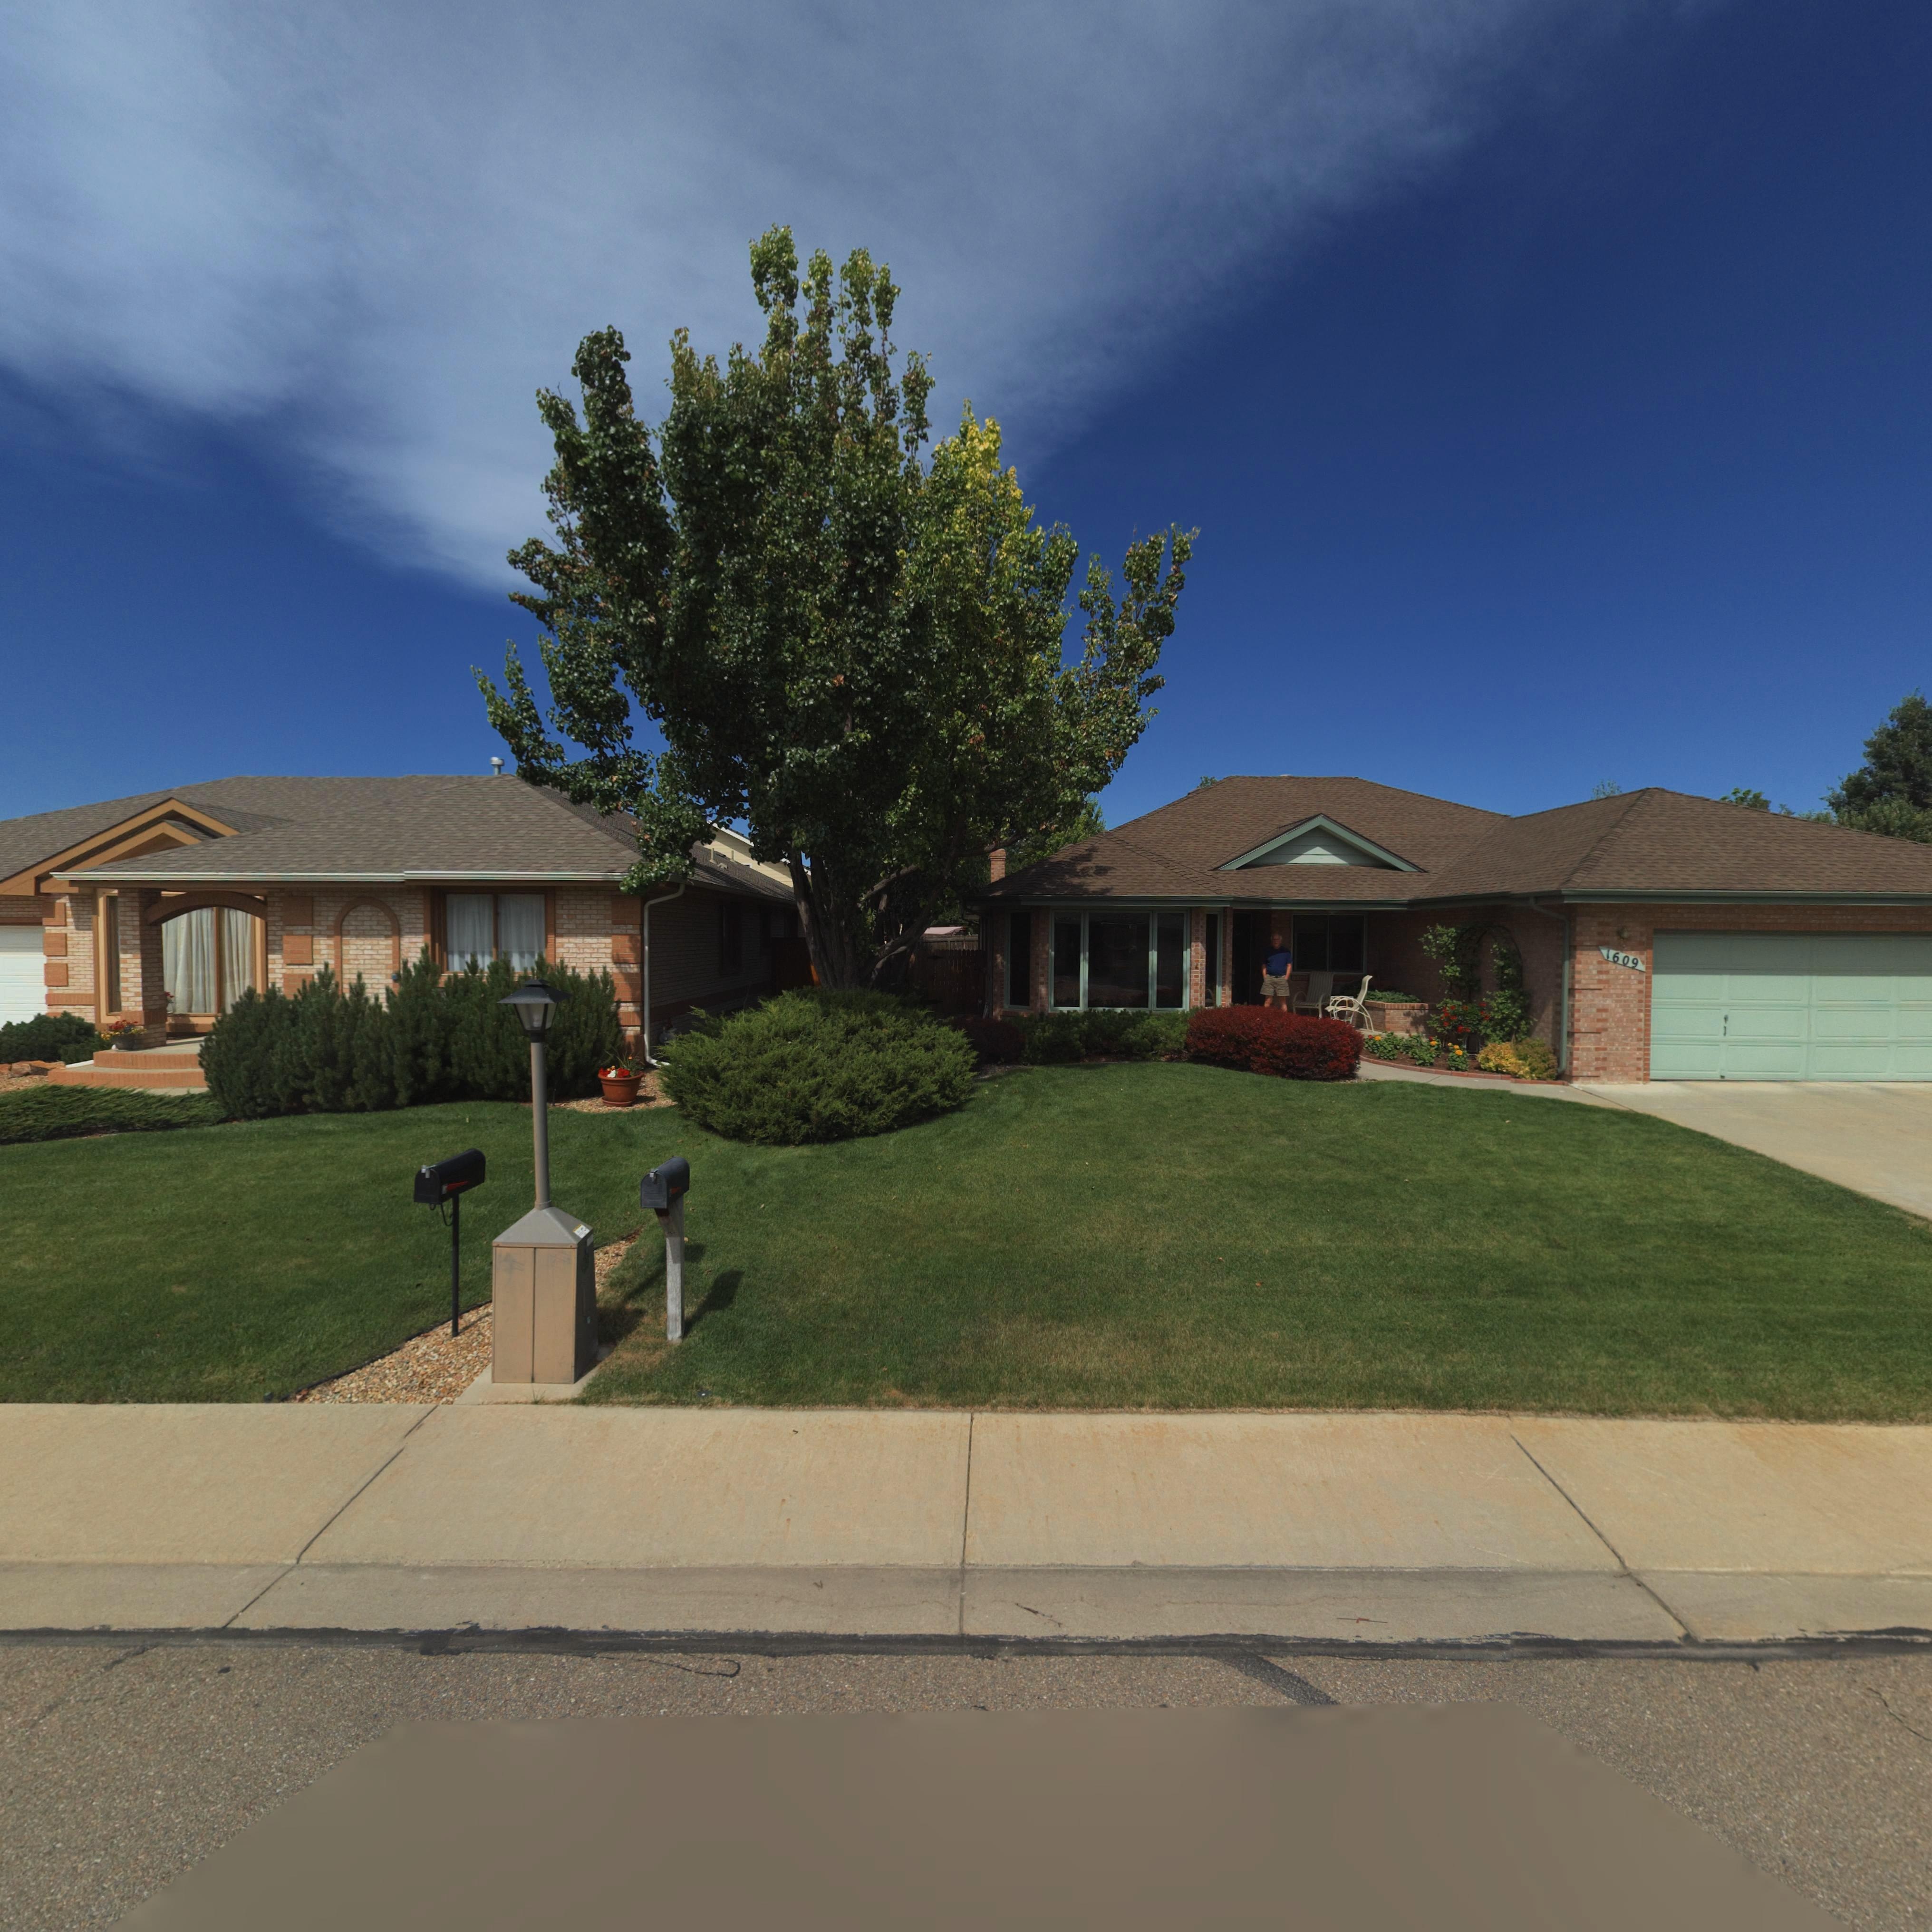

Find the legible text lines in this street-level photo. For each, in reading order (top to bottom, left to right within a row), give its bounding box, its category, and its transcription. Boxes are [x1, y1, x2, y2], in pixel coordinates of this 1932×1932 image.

[1606, 948, 1639, 968] StreetNumber: 1609